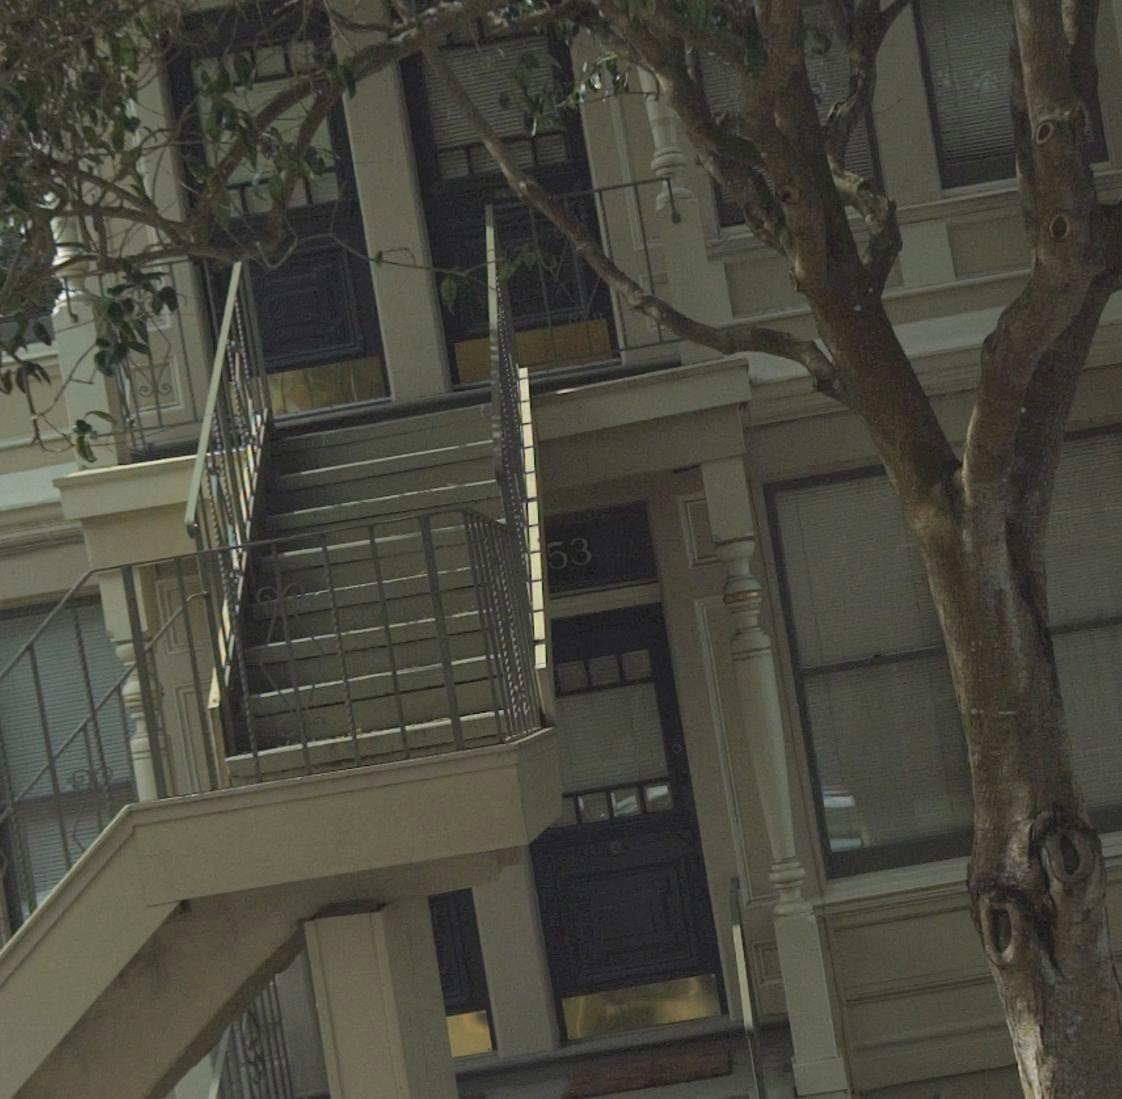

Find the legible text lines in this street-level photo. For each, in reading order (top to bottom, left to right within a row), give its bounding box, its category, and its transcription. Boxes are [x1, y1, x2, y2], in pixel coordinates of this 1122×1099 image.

[545, 535, 594, 573] StreetNumber: 53